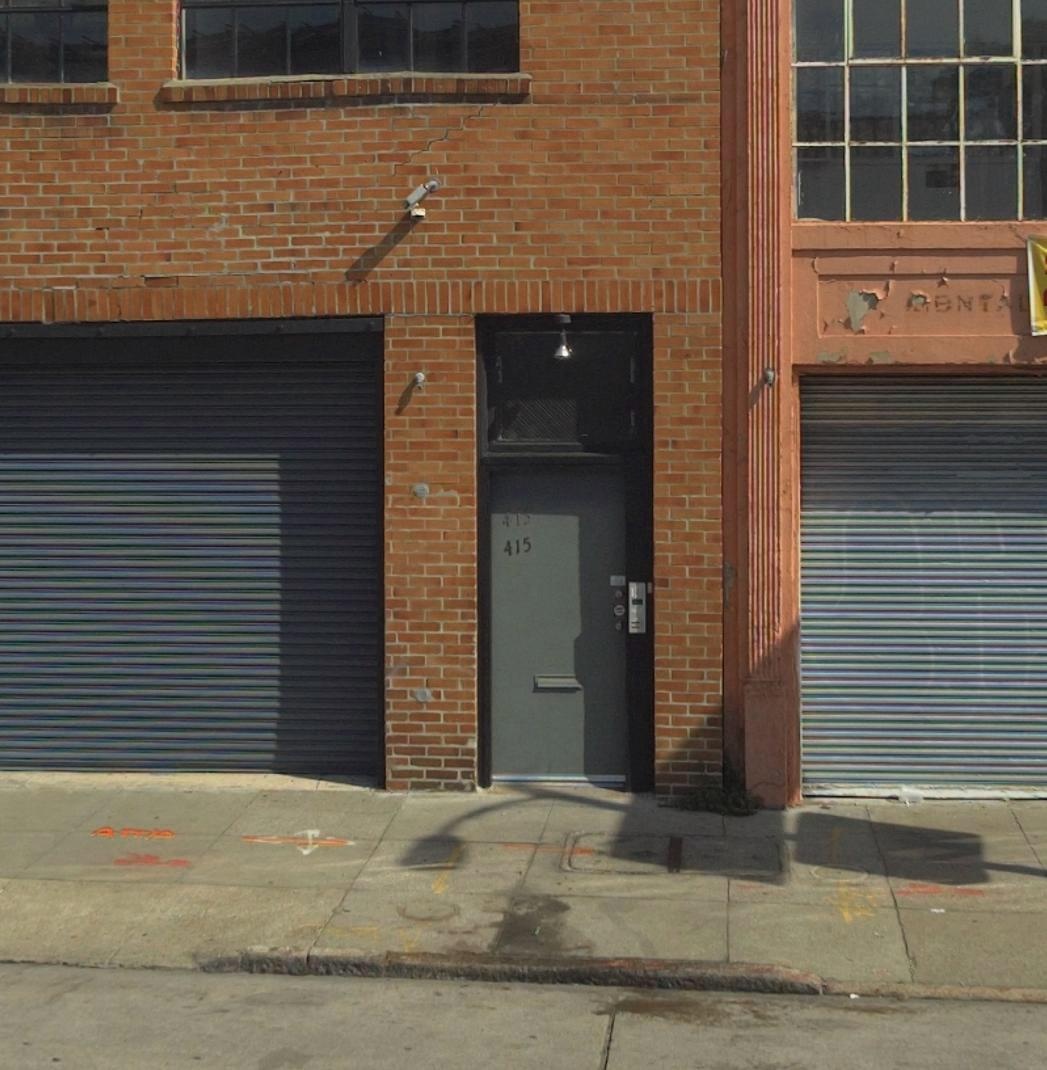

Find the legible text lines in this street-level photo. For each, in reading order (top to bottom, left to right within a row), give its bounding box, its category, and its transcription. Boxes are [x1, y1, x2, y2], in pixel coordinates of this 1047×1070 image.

[952, 290, 1035, 318] None: NTAL
[498, 506, 536, 532] StreetNumber: 415
[500, 533, 536, 561] StreetNumber: 415